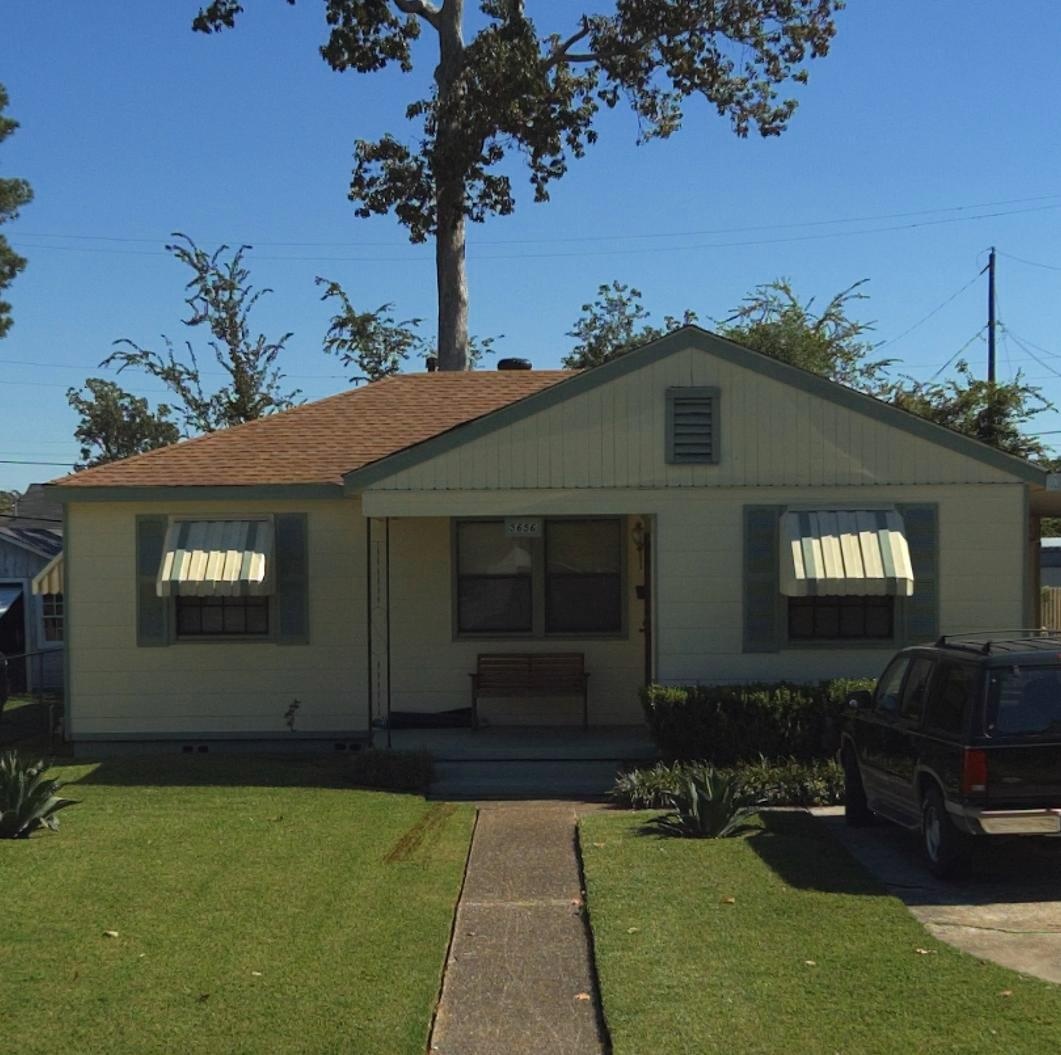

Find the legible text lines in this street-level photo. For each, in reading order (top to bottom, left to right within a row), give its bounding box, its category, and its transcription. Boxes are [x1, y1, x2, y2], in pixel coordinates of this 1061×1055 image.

[507, 523, 537, 533] StreetNumber: 5656